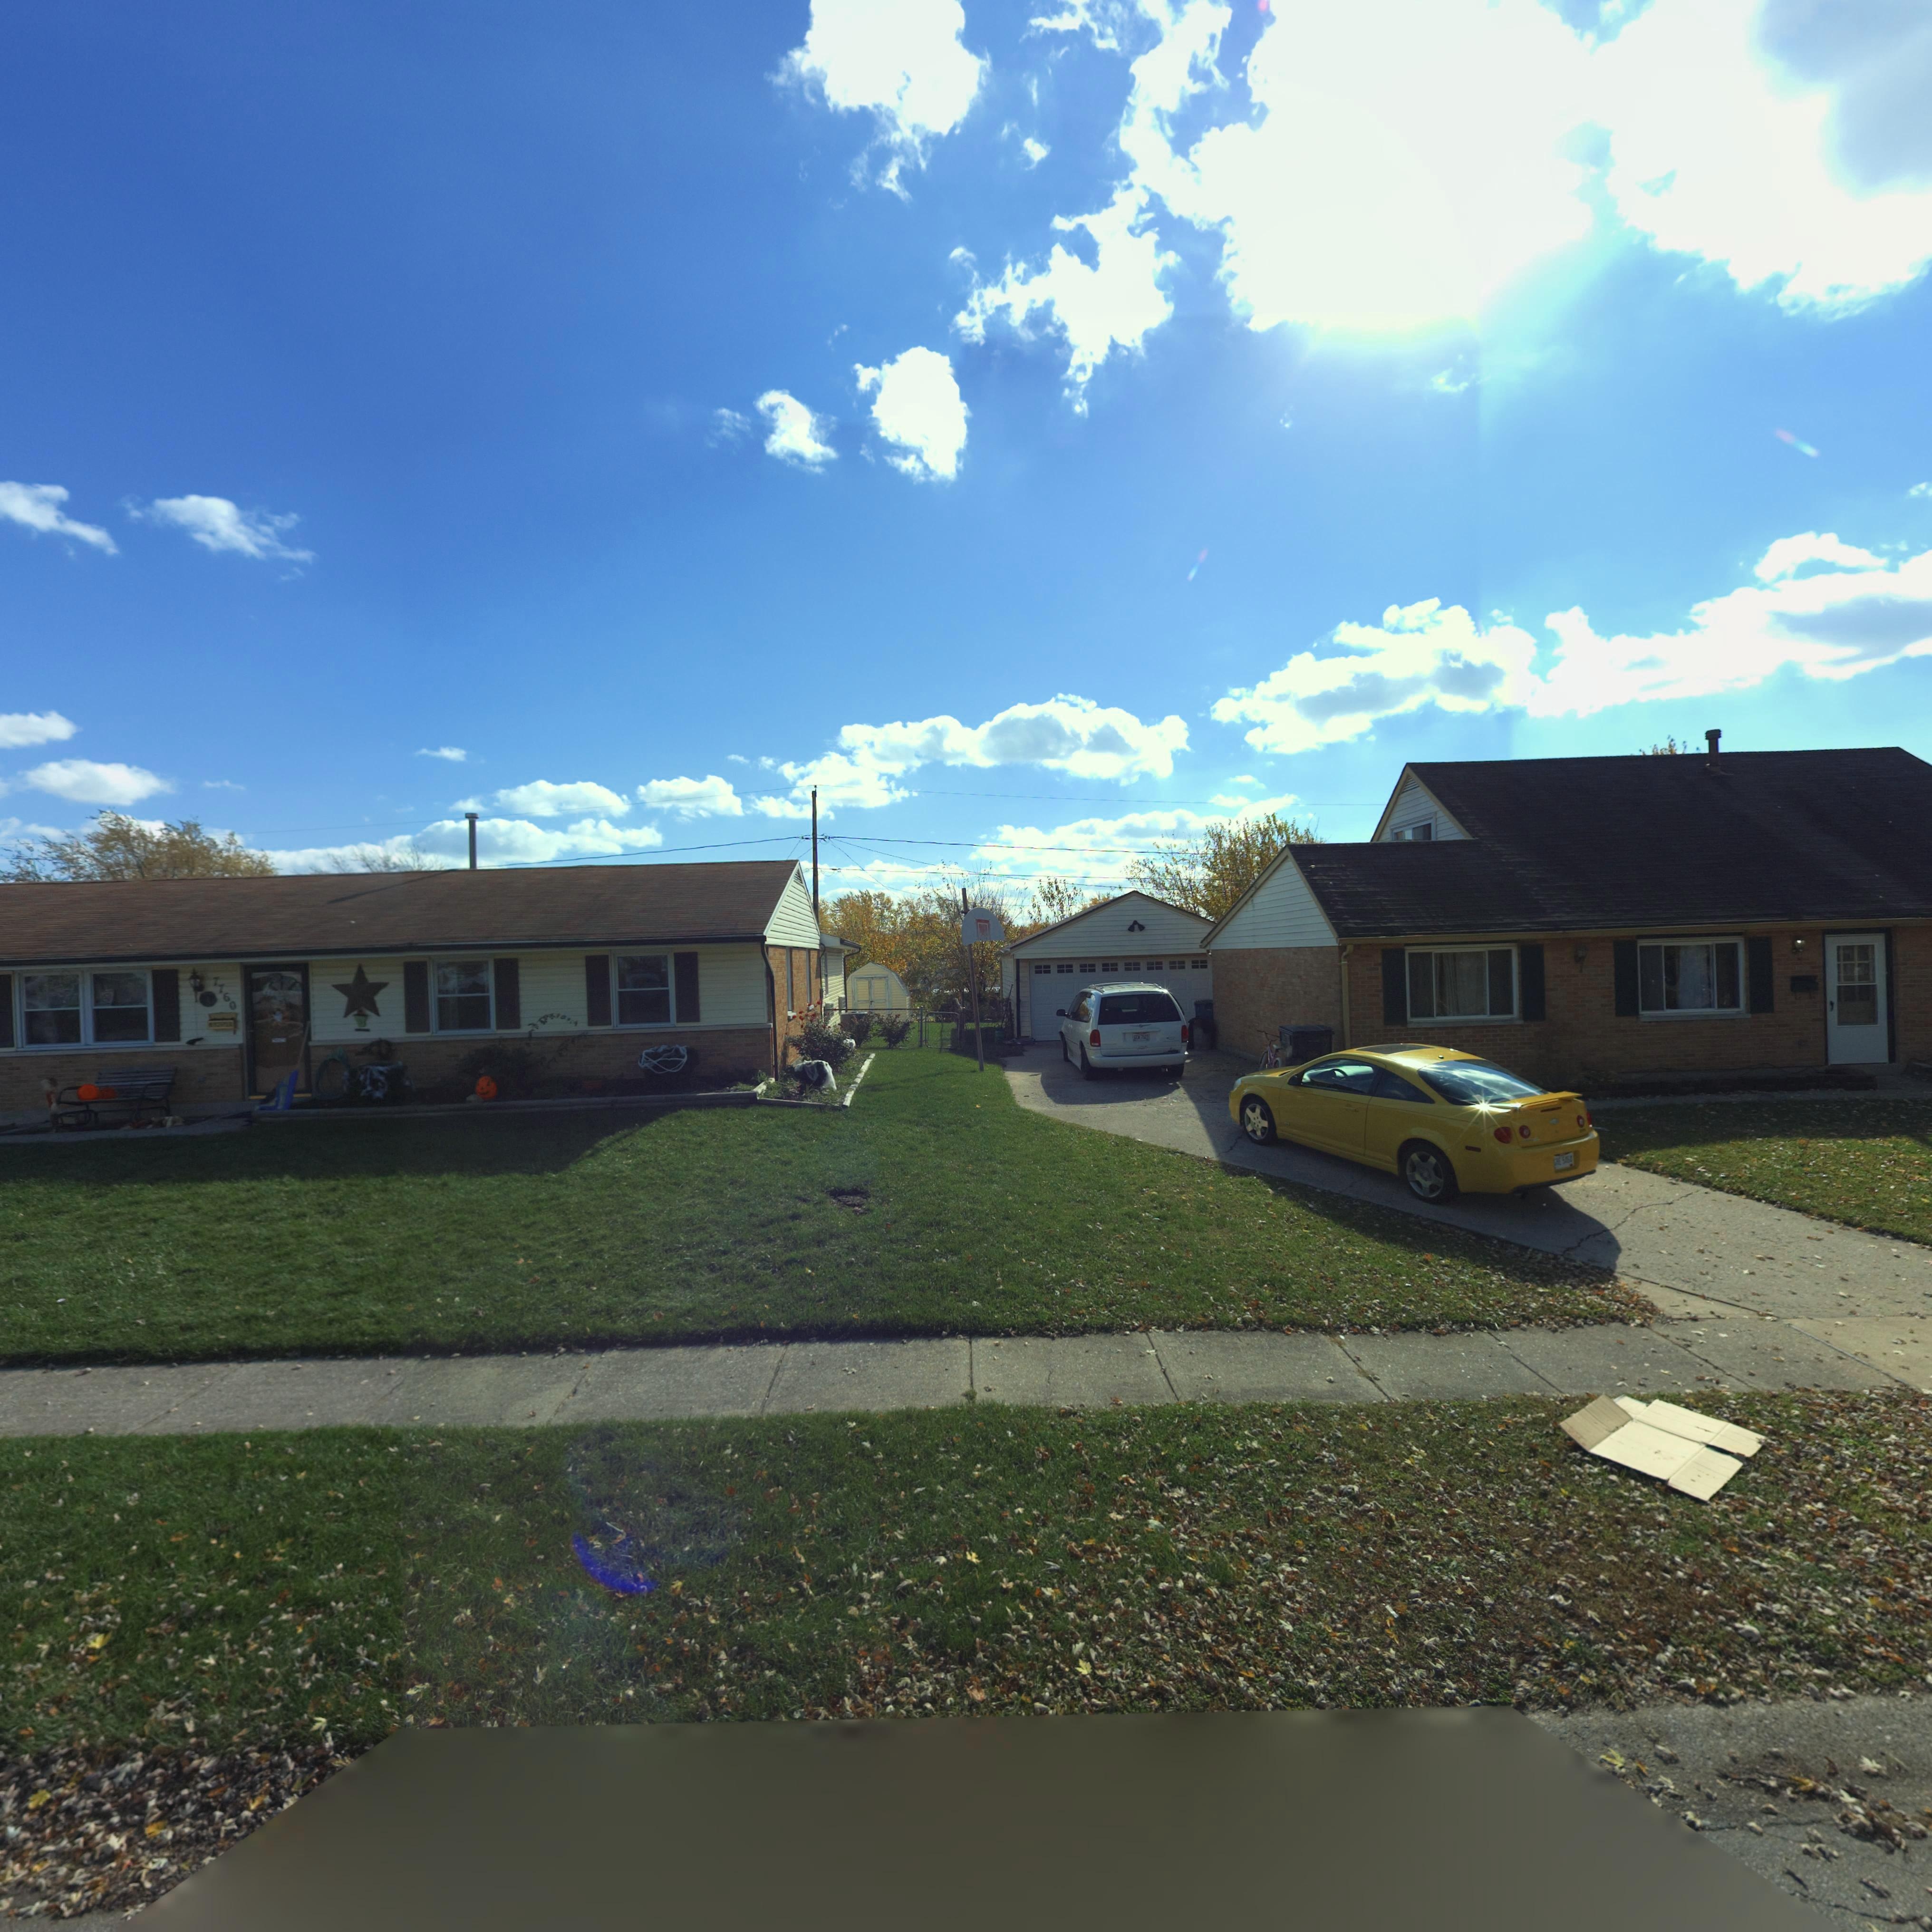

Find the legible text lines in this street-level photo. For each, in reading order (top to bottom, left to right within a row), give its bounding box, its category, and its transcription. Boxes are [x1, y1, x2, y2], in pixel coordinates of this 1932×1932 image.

[213, 976, 237, 1011] StreetNumber: 7760